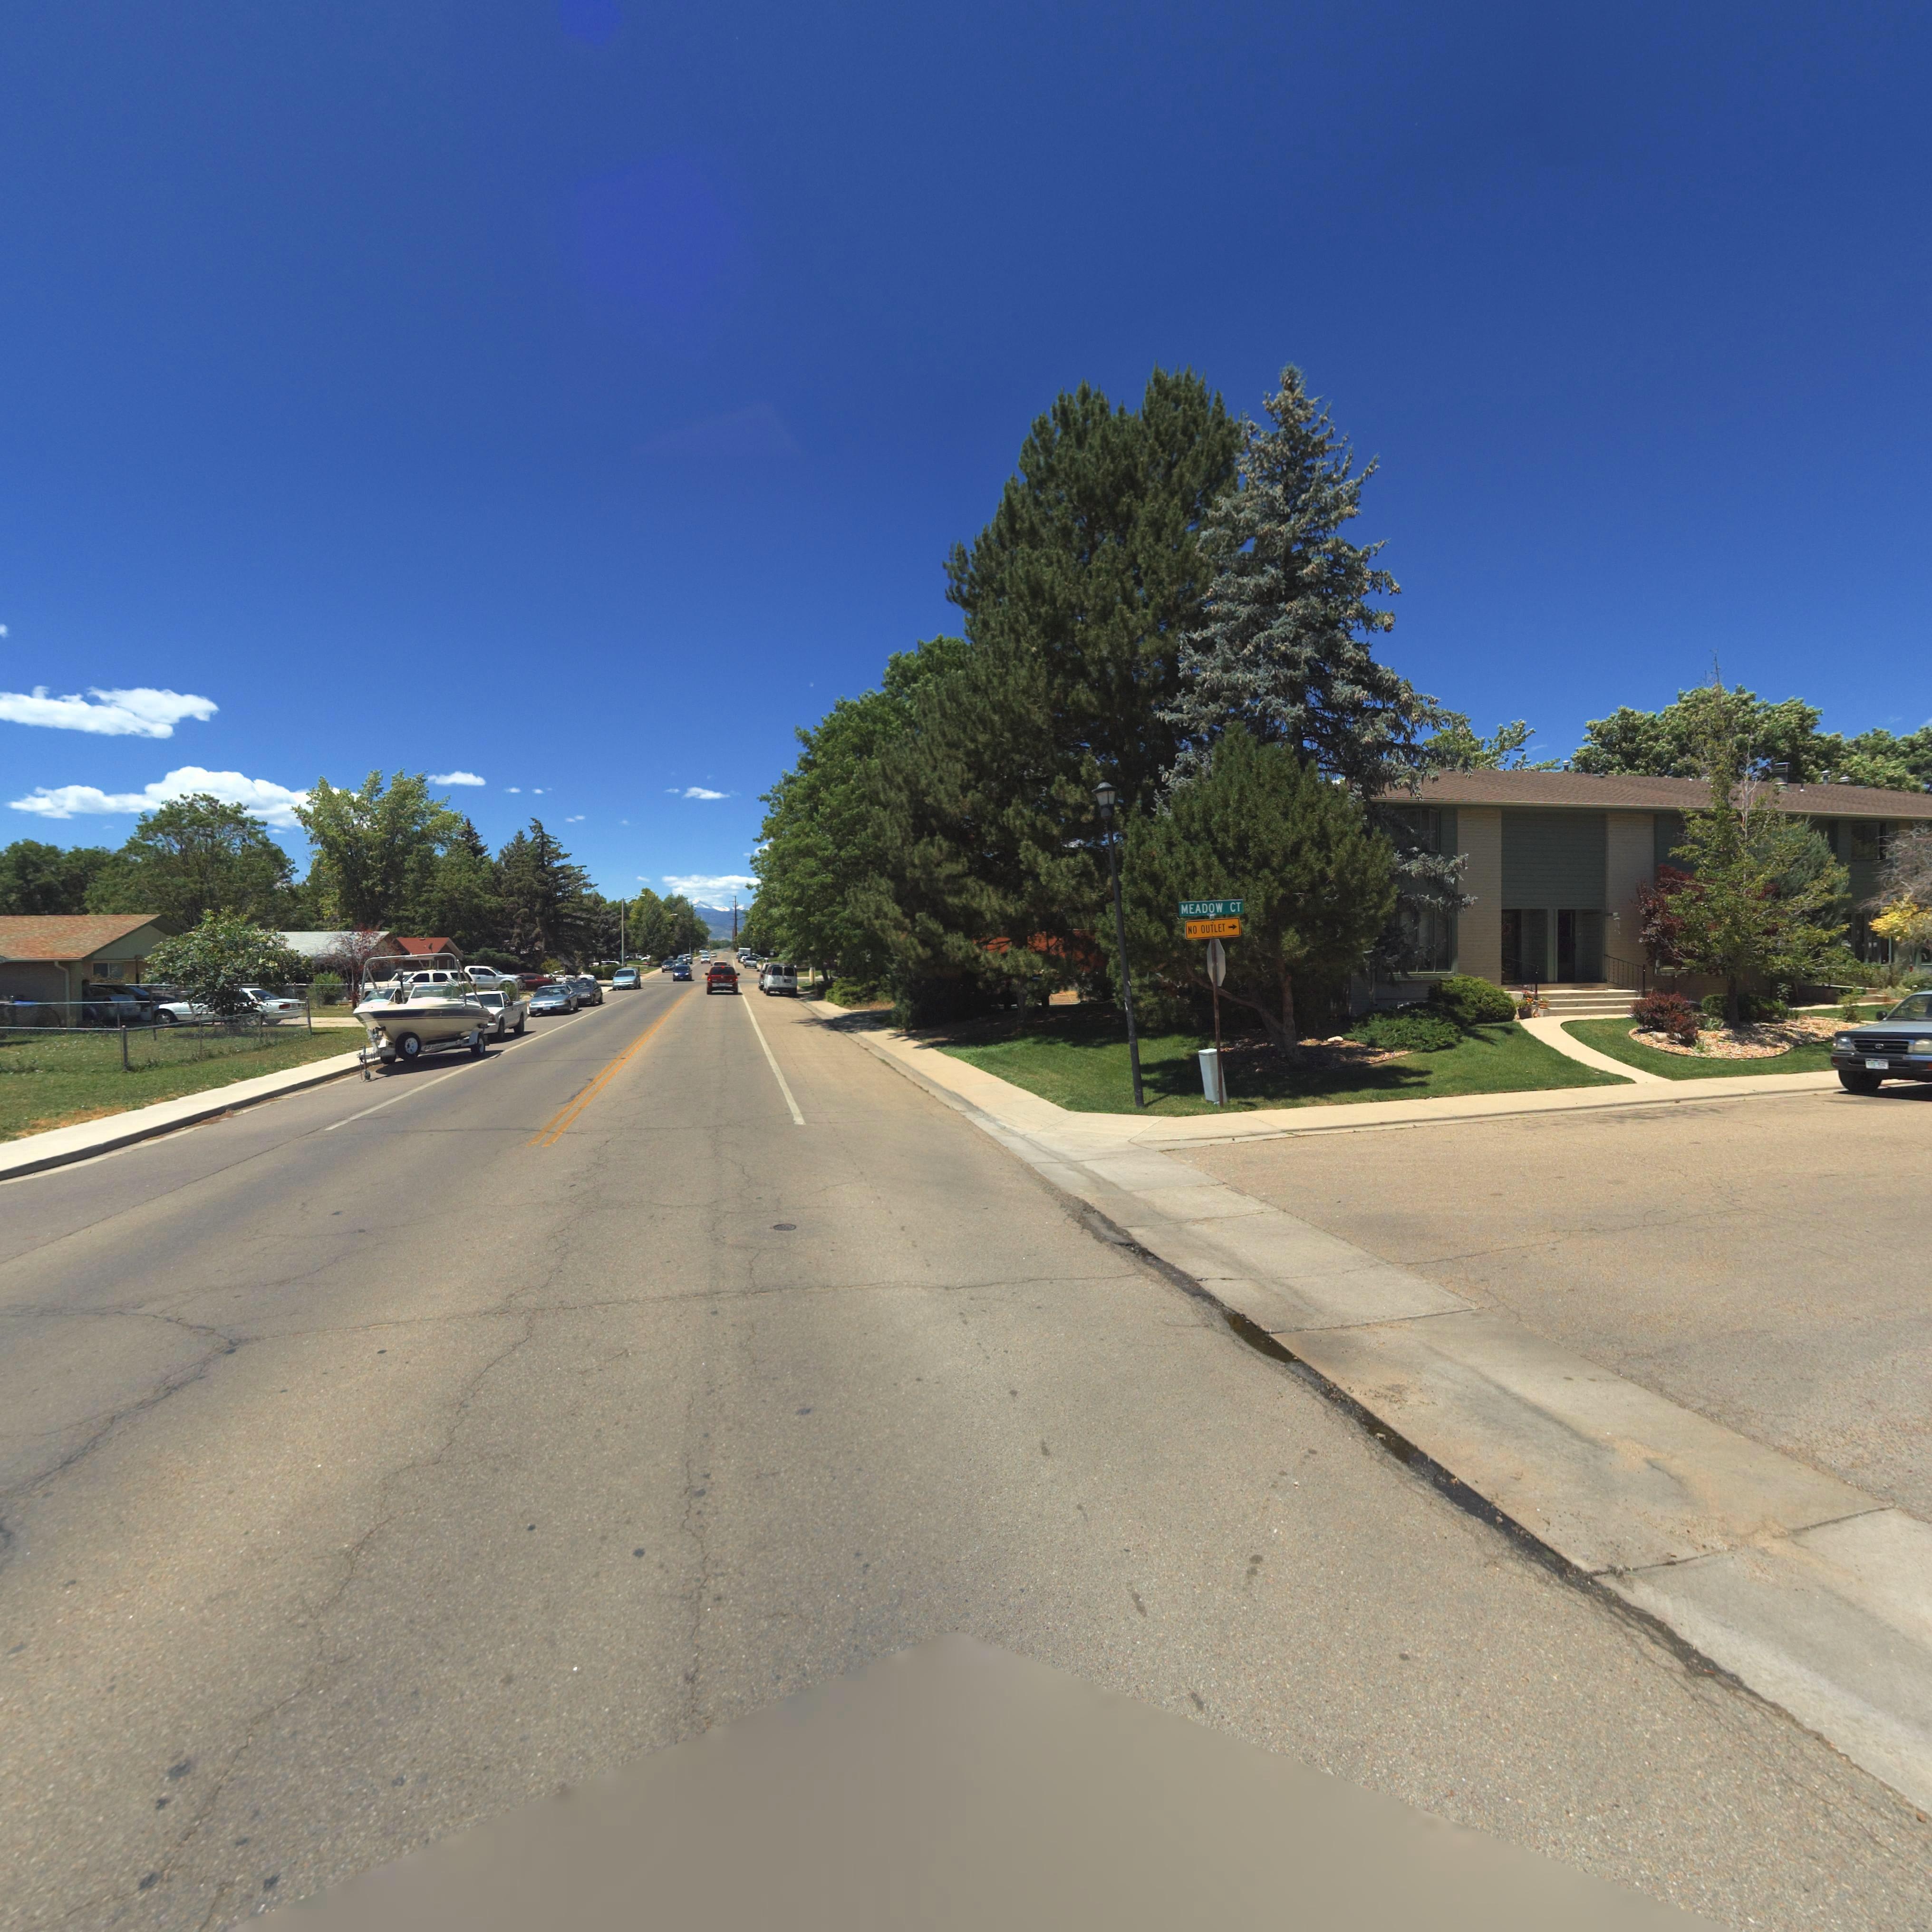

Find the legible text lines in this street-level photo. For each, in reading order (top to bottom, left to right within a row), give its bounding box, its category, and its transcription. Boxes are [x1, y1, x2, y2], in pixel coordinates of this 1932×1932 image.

[1181, 901, 1242, 914] StreetName: MEADOW CT